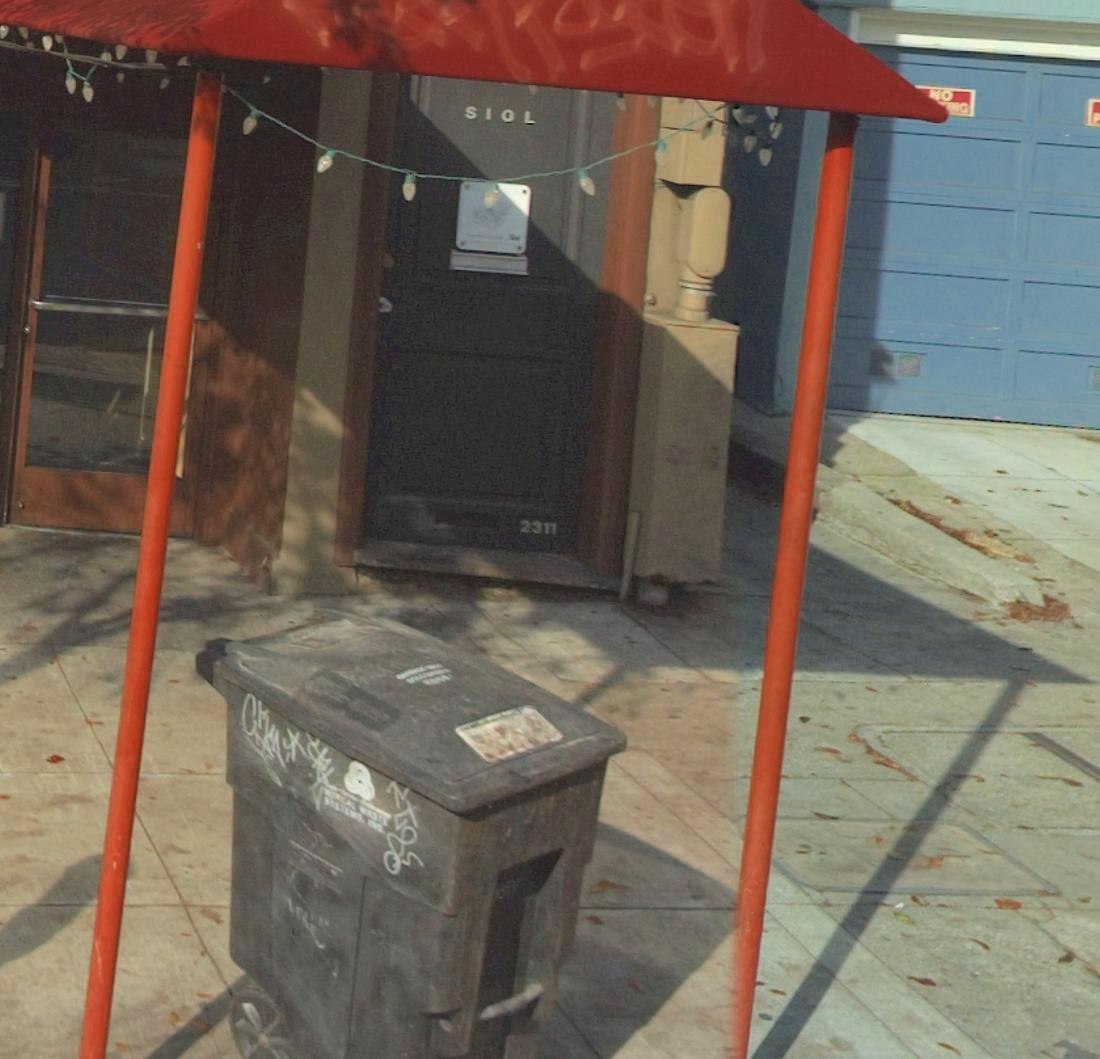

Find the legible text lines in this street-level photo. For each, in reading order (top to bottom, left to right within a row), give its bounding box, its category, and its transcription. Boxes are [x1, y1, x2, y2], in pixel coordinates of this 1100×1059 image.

[927, 85, 955, 104] None: NO
[461, 101, 539, 129] None: SIOL
[947, 100, 971, 117] None: NG
[1090, 110, 1100, 125] None: P
[517, 516, 560, 539] StreetNumber: 2311